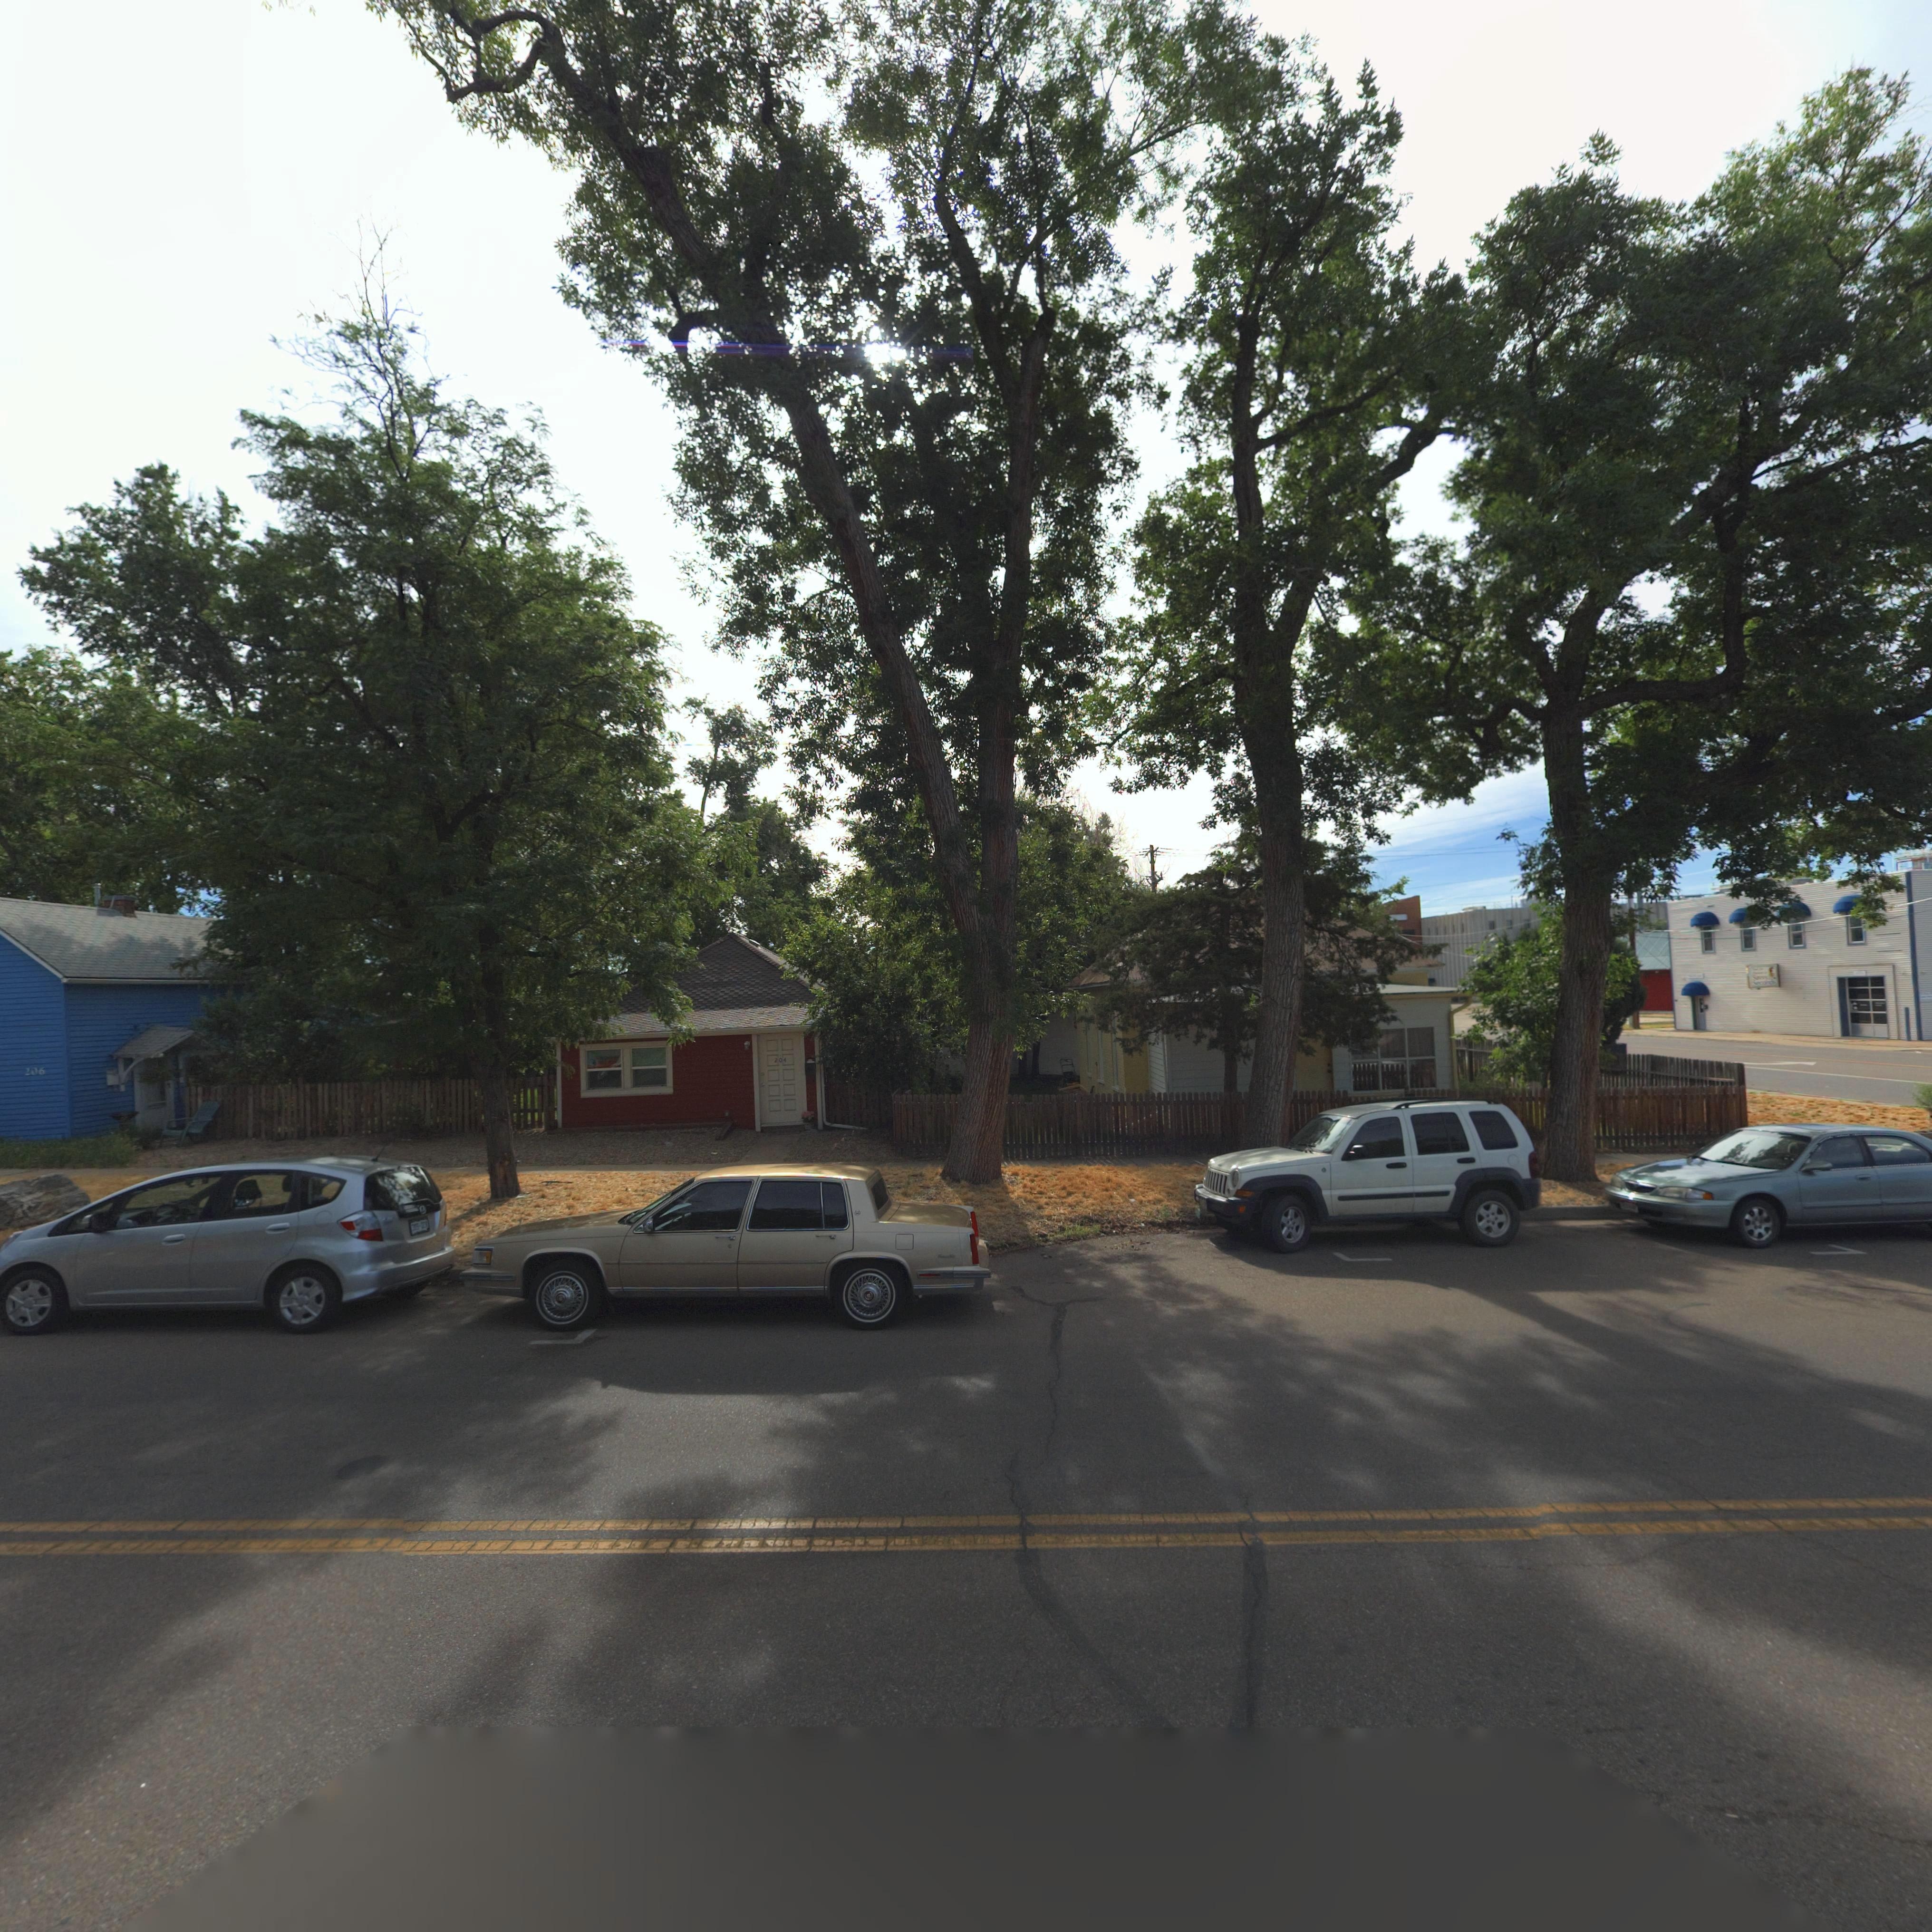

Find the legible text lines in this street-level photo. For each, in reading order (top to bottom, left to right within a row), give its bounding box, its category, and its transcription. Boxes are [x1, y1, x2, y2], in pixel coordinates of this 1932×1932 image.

[774, 1057, 786, 1063] StreetNumber: 204
[24, 1067, 45, 1075] StreetNumber: 206